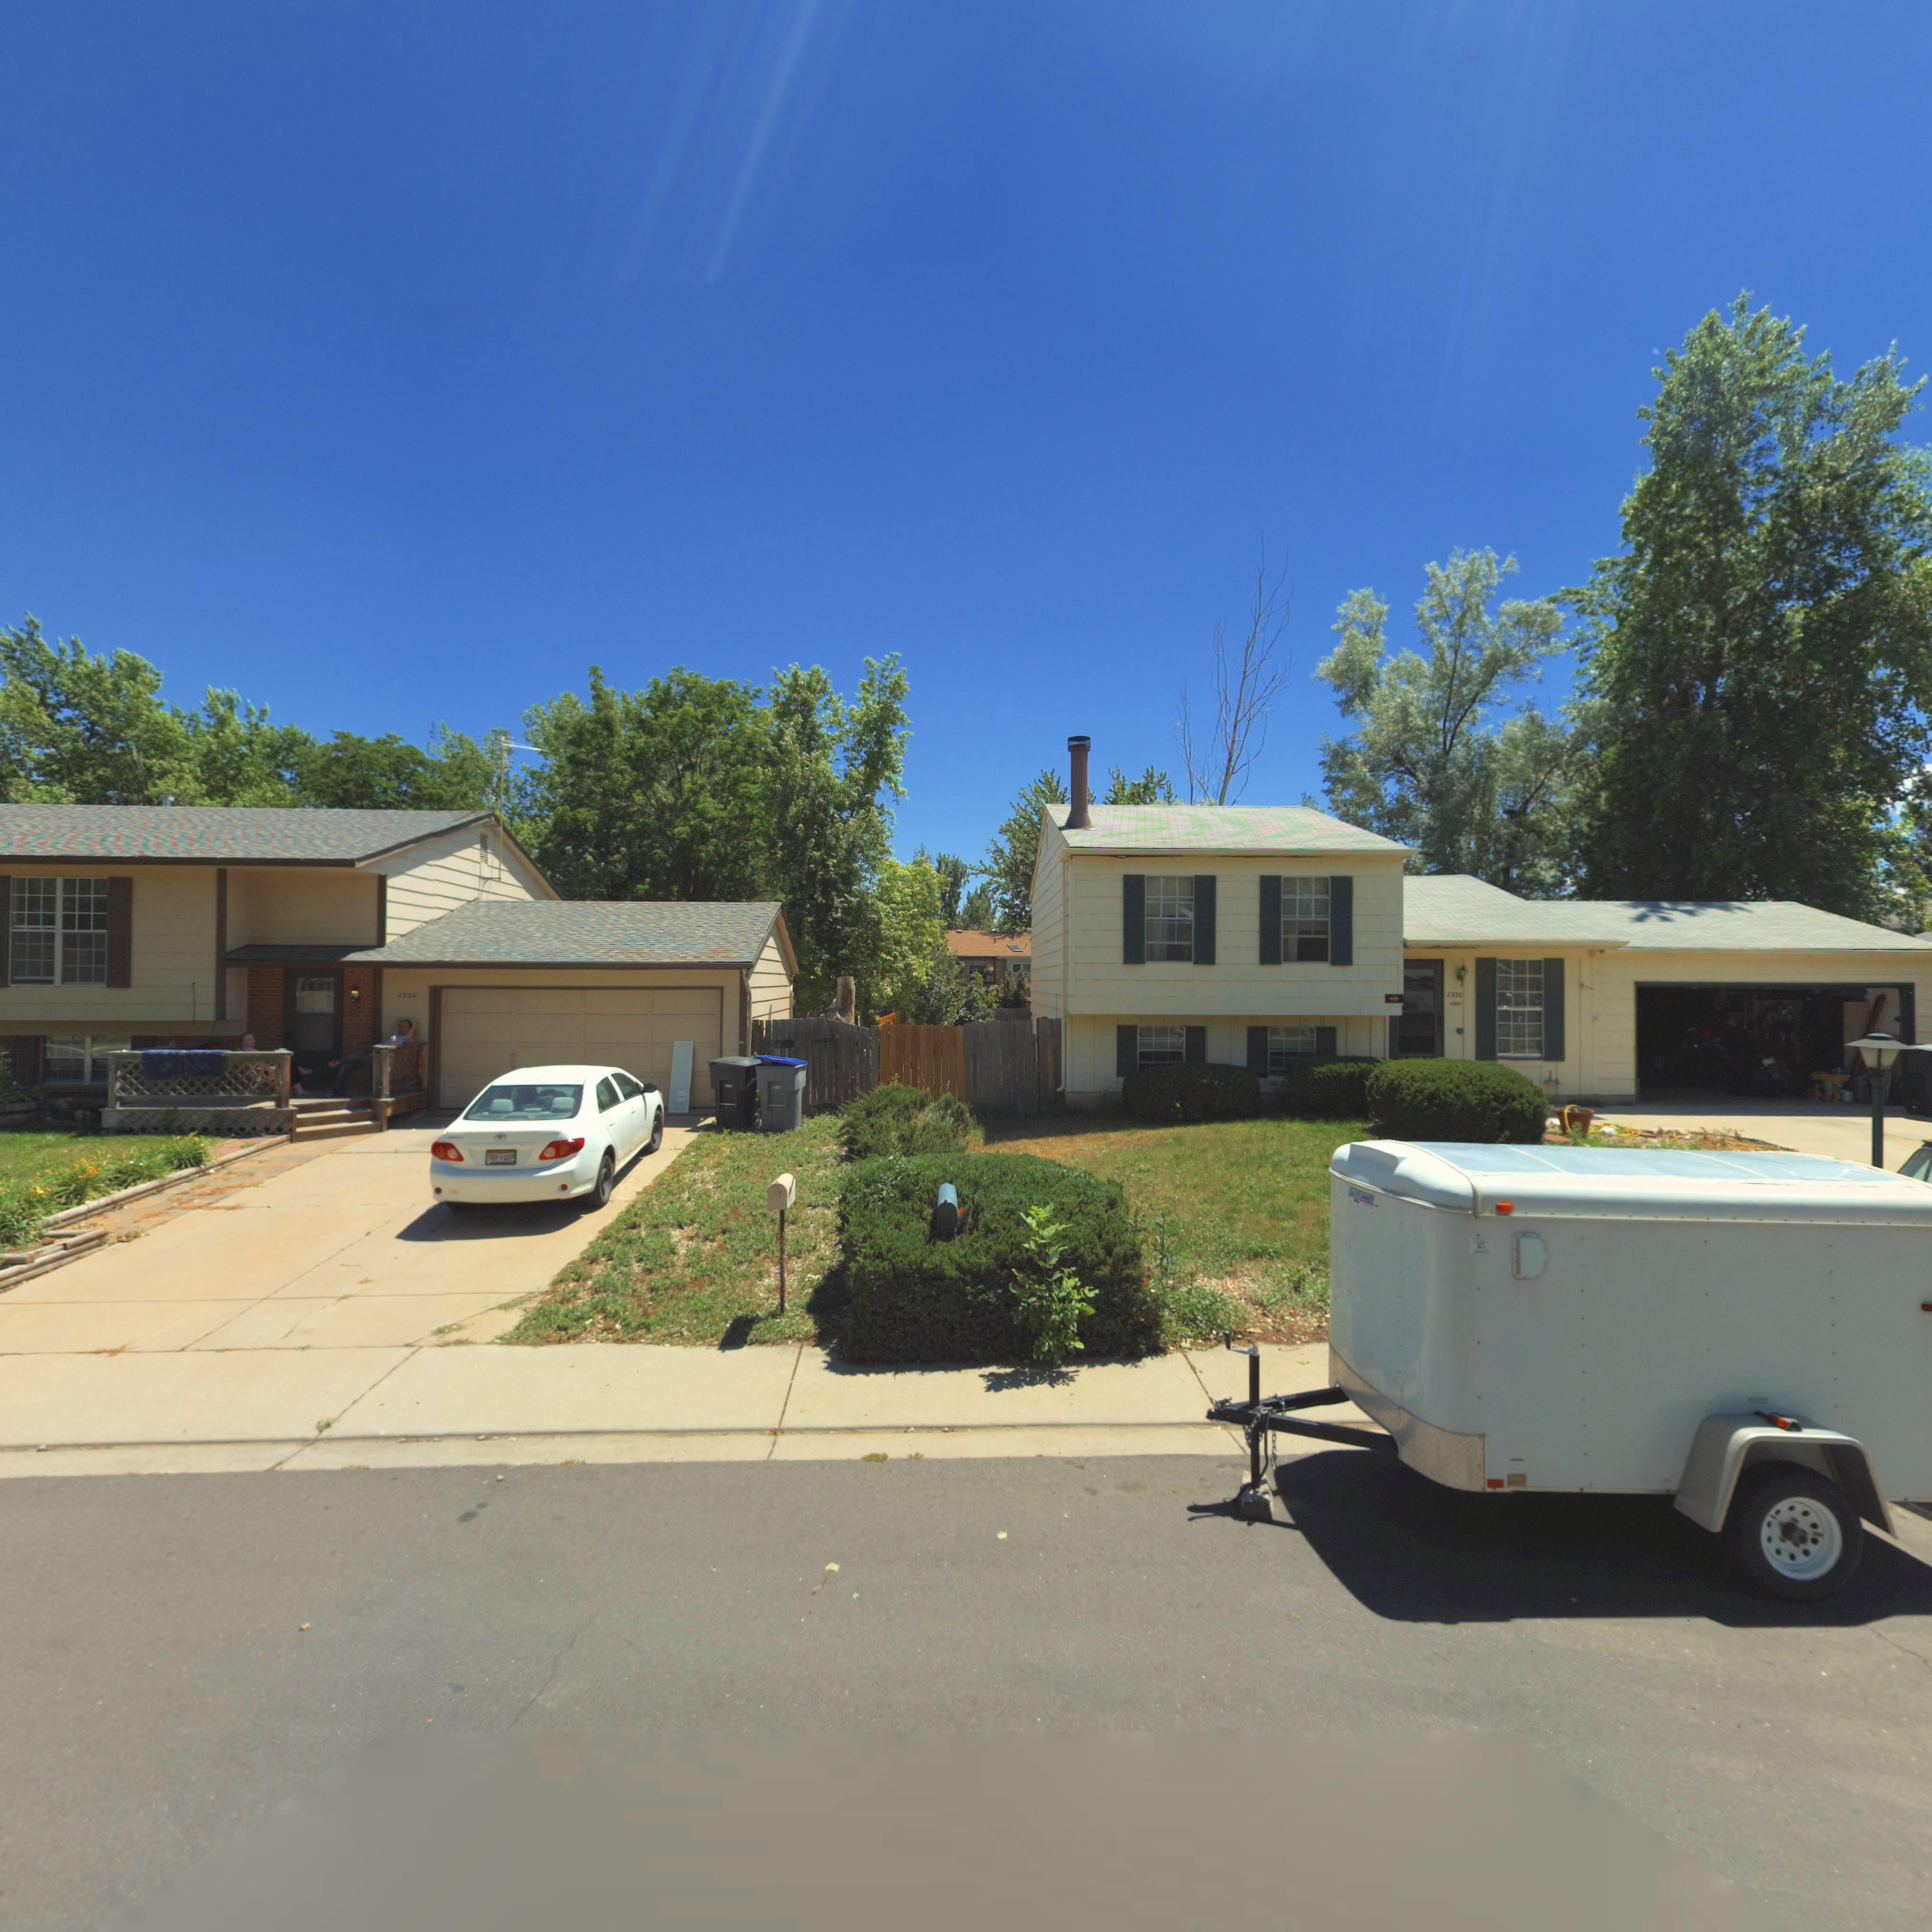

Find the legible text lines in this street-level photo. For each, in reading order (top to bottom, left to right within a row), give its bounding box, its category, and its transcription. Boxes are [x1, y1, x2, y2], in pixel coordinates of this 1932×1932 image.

[397, 992, 416, 998] StreetNumber: 23**
[1446, 992, 1462, 997] StreetNumber: 2330
[774, 1190, 782, 1194] StreetNumber: 2*6